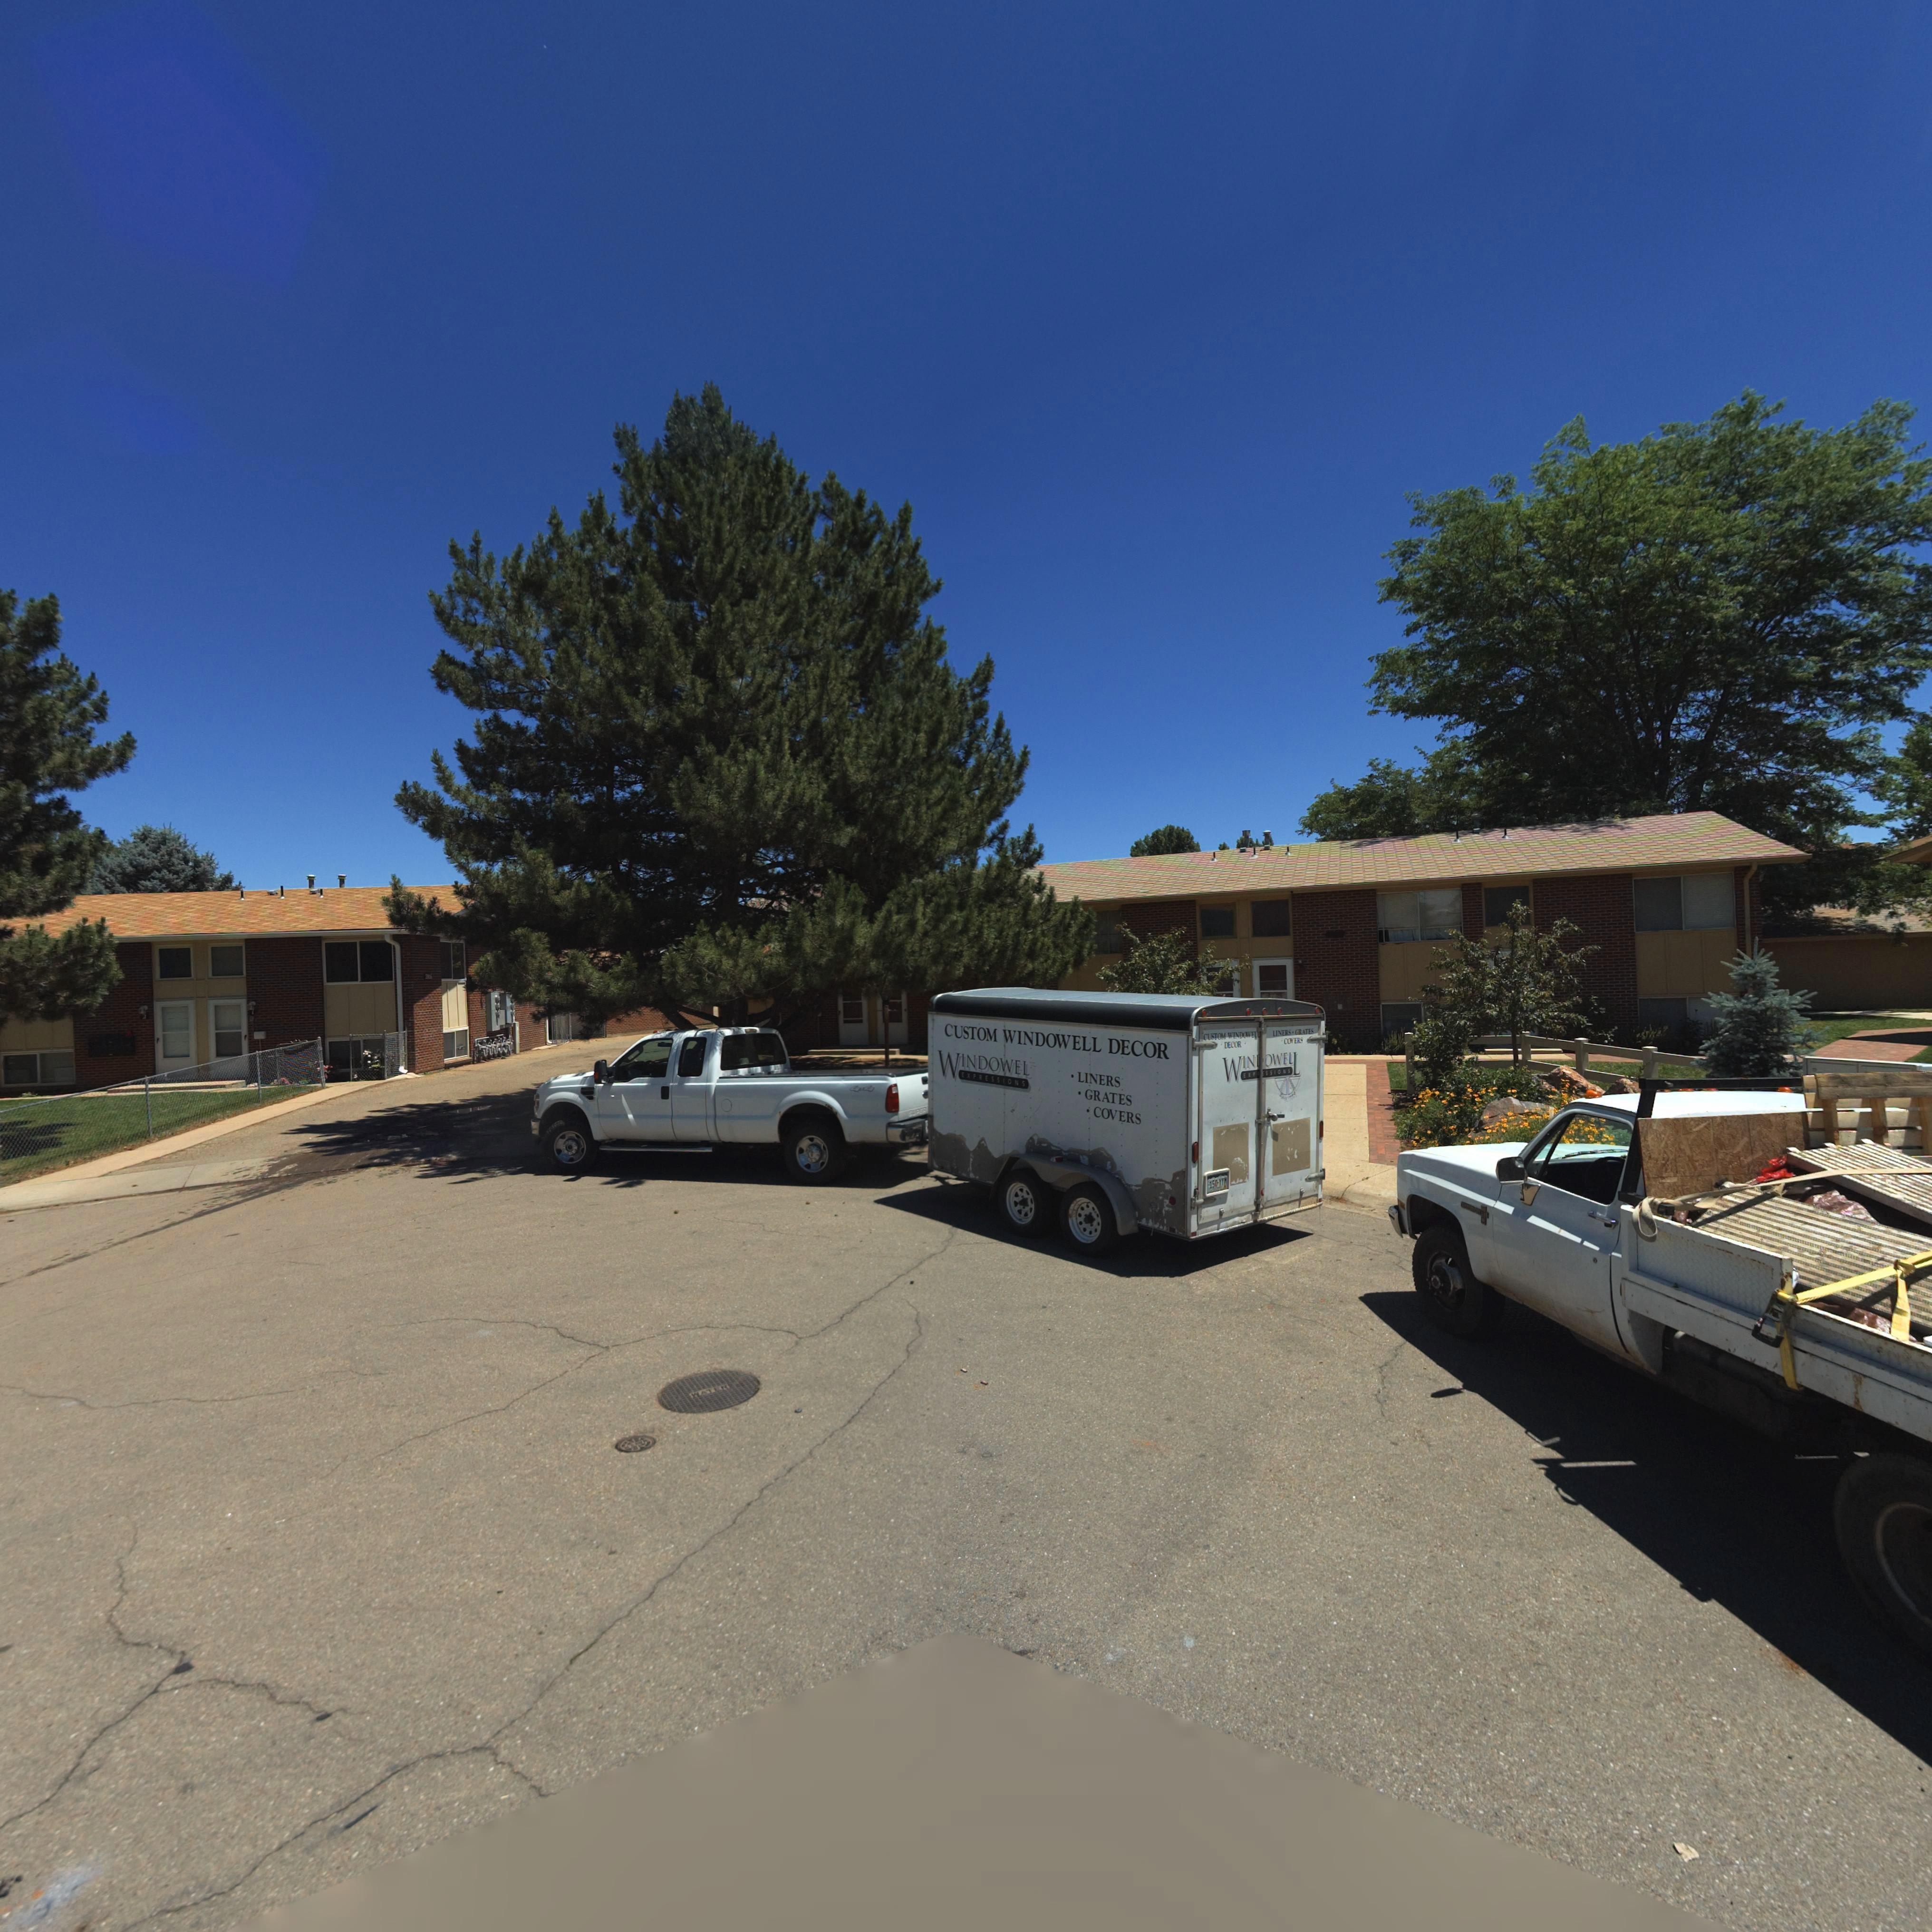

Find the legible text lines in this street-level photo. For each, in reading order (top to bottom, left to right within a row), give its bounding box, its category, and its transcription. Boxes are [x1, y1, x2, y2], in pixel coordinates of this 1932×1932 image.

[251, 1010, 254, 1014] StreetNumber: 1
[142, 1014, 146, 1019] StreetNumber: 2